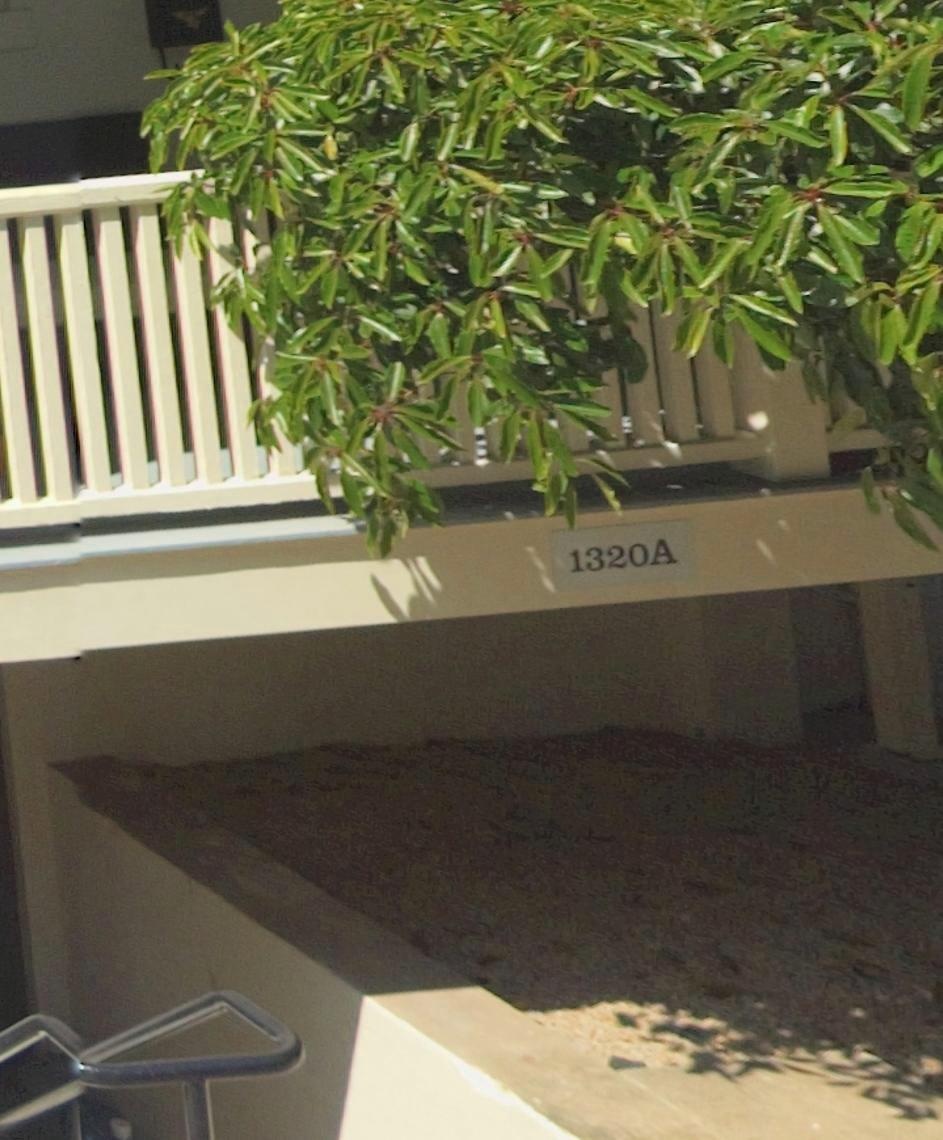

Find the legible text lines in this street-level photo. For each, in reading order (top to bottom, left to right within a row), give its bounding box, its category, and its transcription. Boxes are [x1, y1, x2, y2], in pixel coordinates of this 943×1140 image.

[566, 537, 680, 575] StreetNumber: 1320A